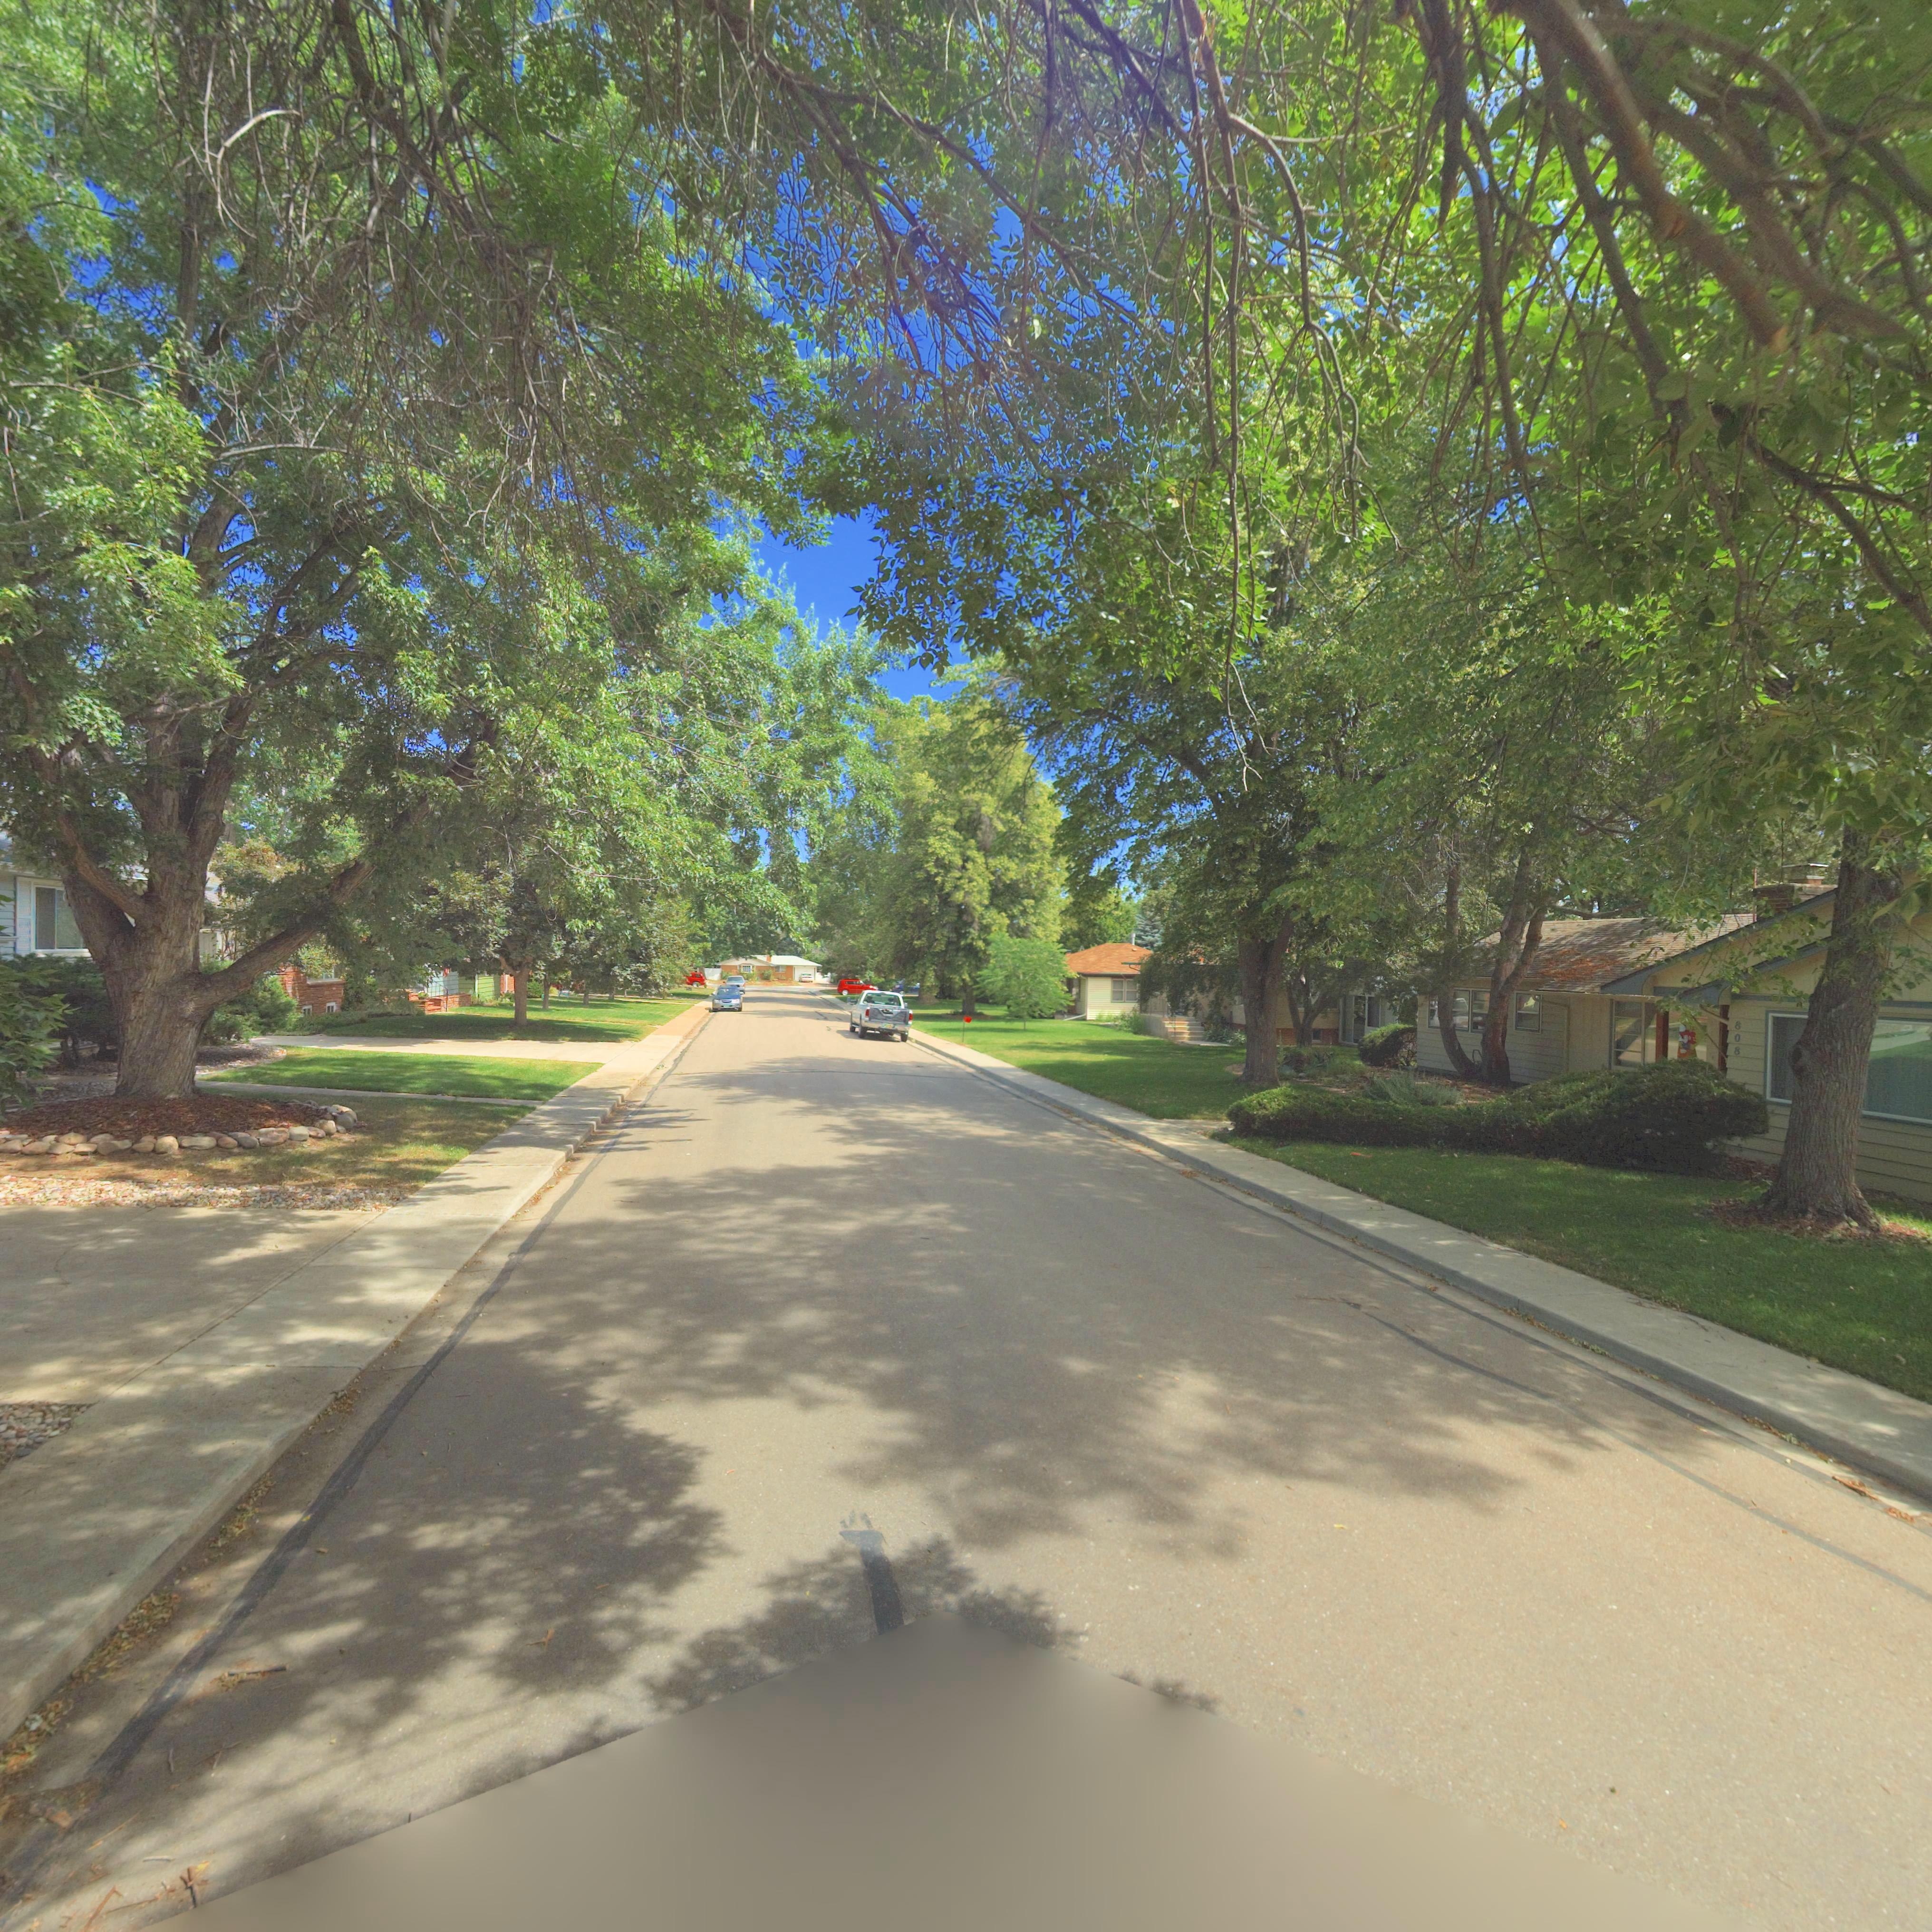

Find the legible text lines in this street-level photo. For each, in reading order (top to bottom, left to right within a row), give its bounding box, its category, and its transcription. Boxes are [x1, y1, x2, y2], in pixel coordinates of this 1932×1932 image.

[1734, 1020, 1740, 1055] StreetNumber: 808